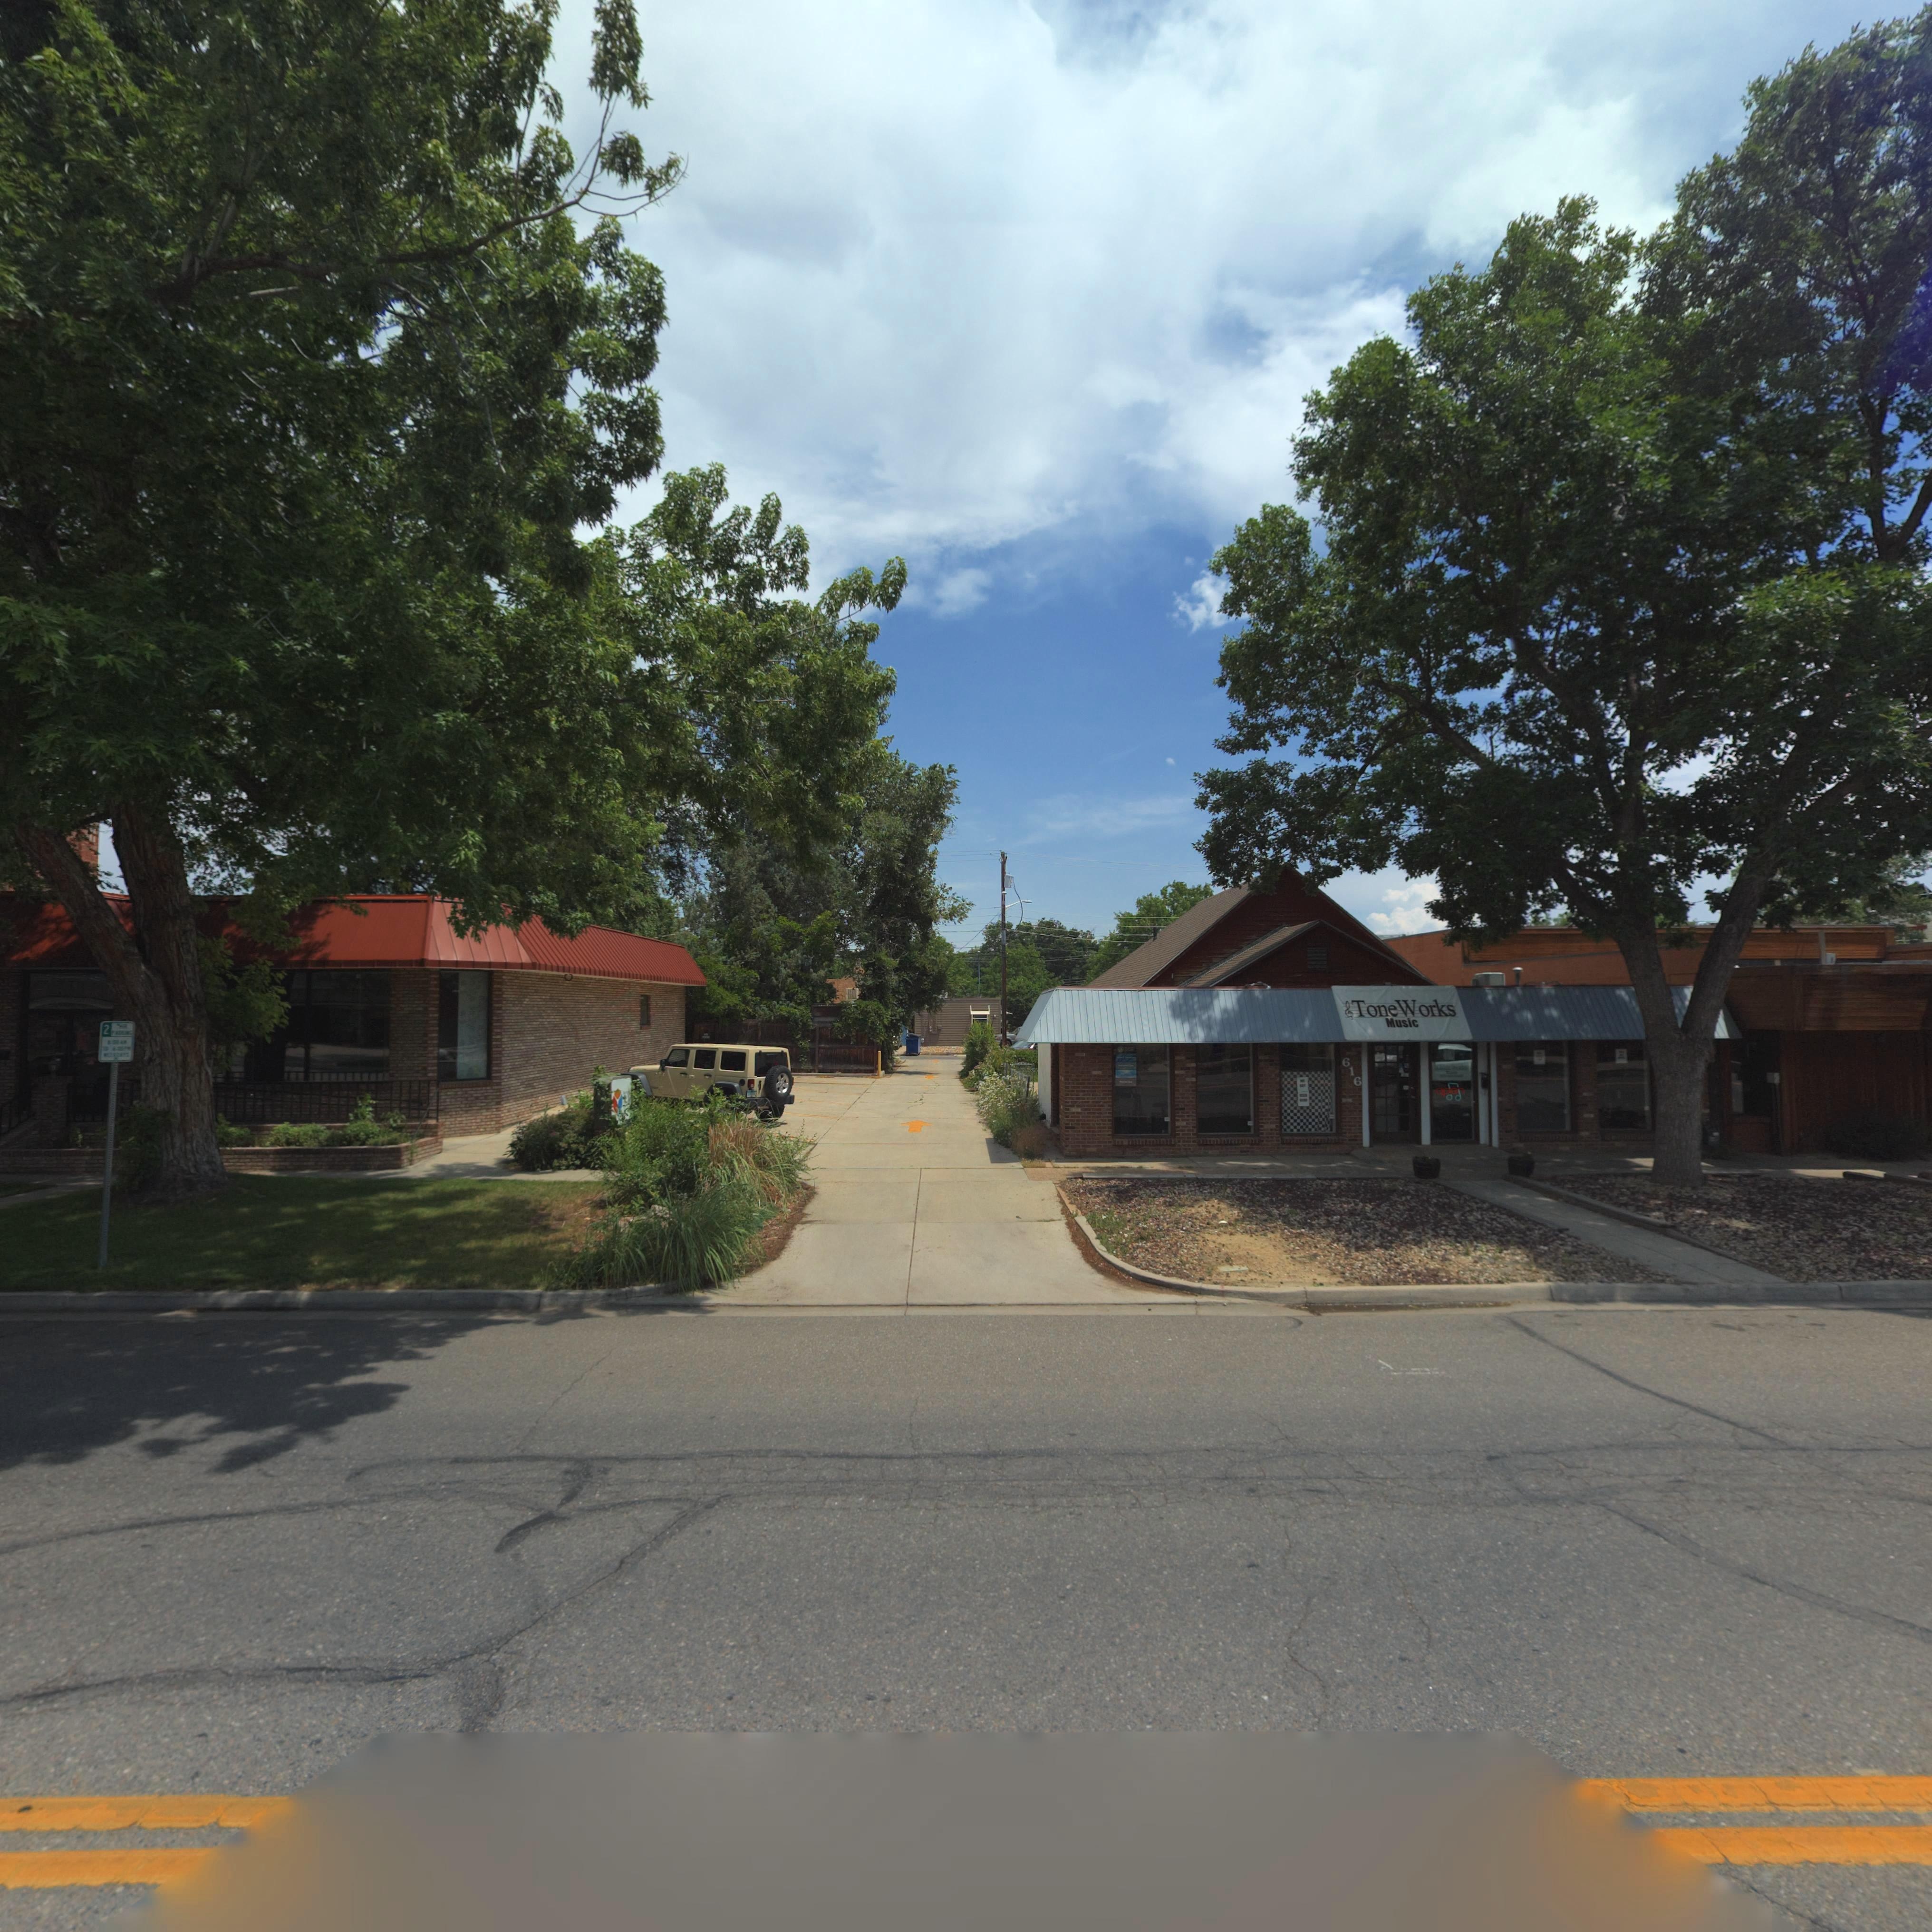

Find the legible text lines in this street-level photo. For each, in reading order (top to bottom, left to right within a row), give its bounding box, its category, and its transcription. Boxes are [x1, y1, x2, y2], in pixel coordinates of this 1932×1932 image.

[1349, 998, 1458, 1018] BusinessName: Tone Works
[1384, 1017, 1419, 1028] BusinessName: Music
[1341, 1056, 1363, 1087] StreetNumber: 616